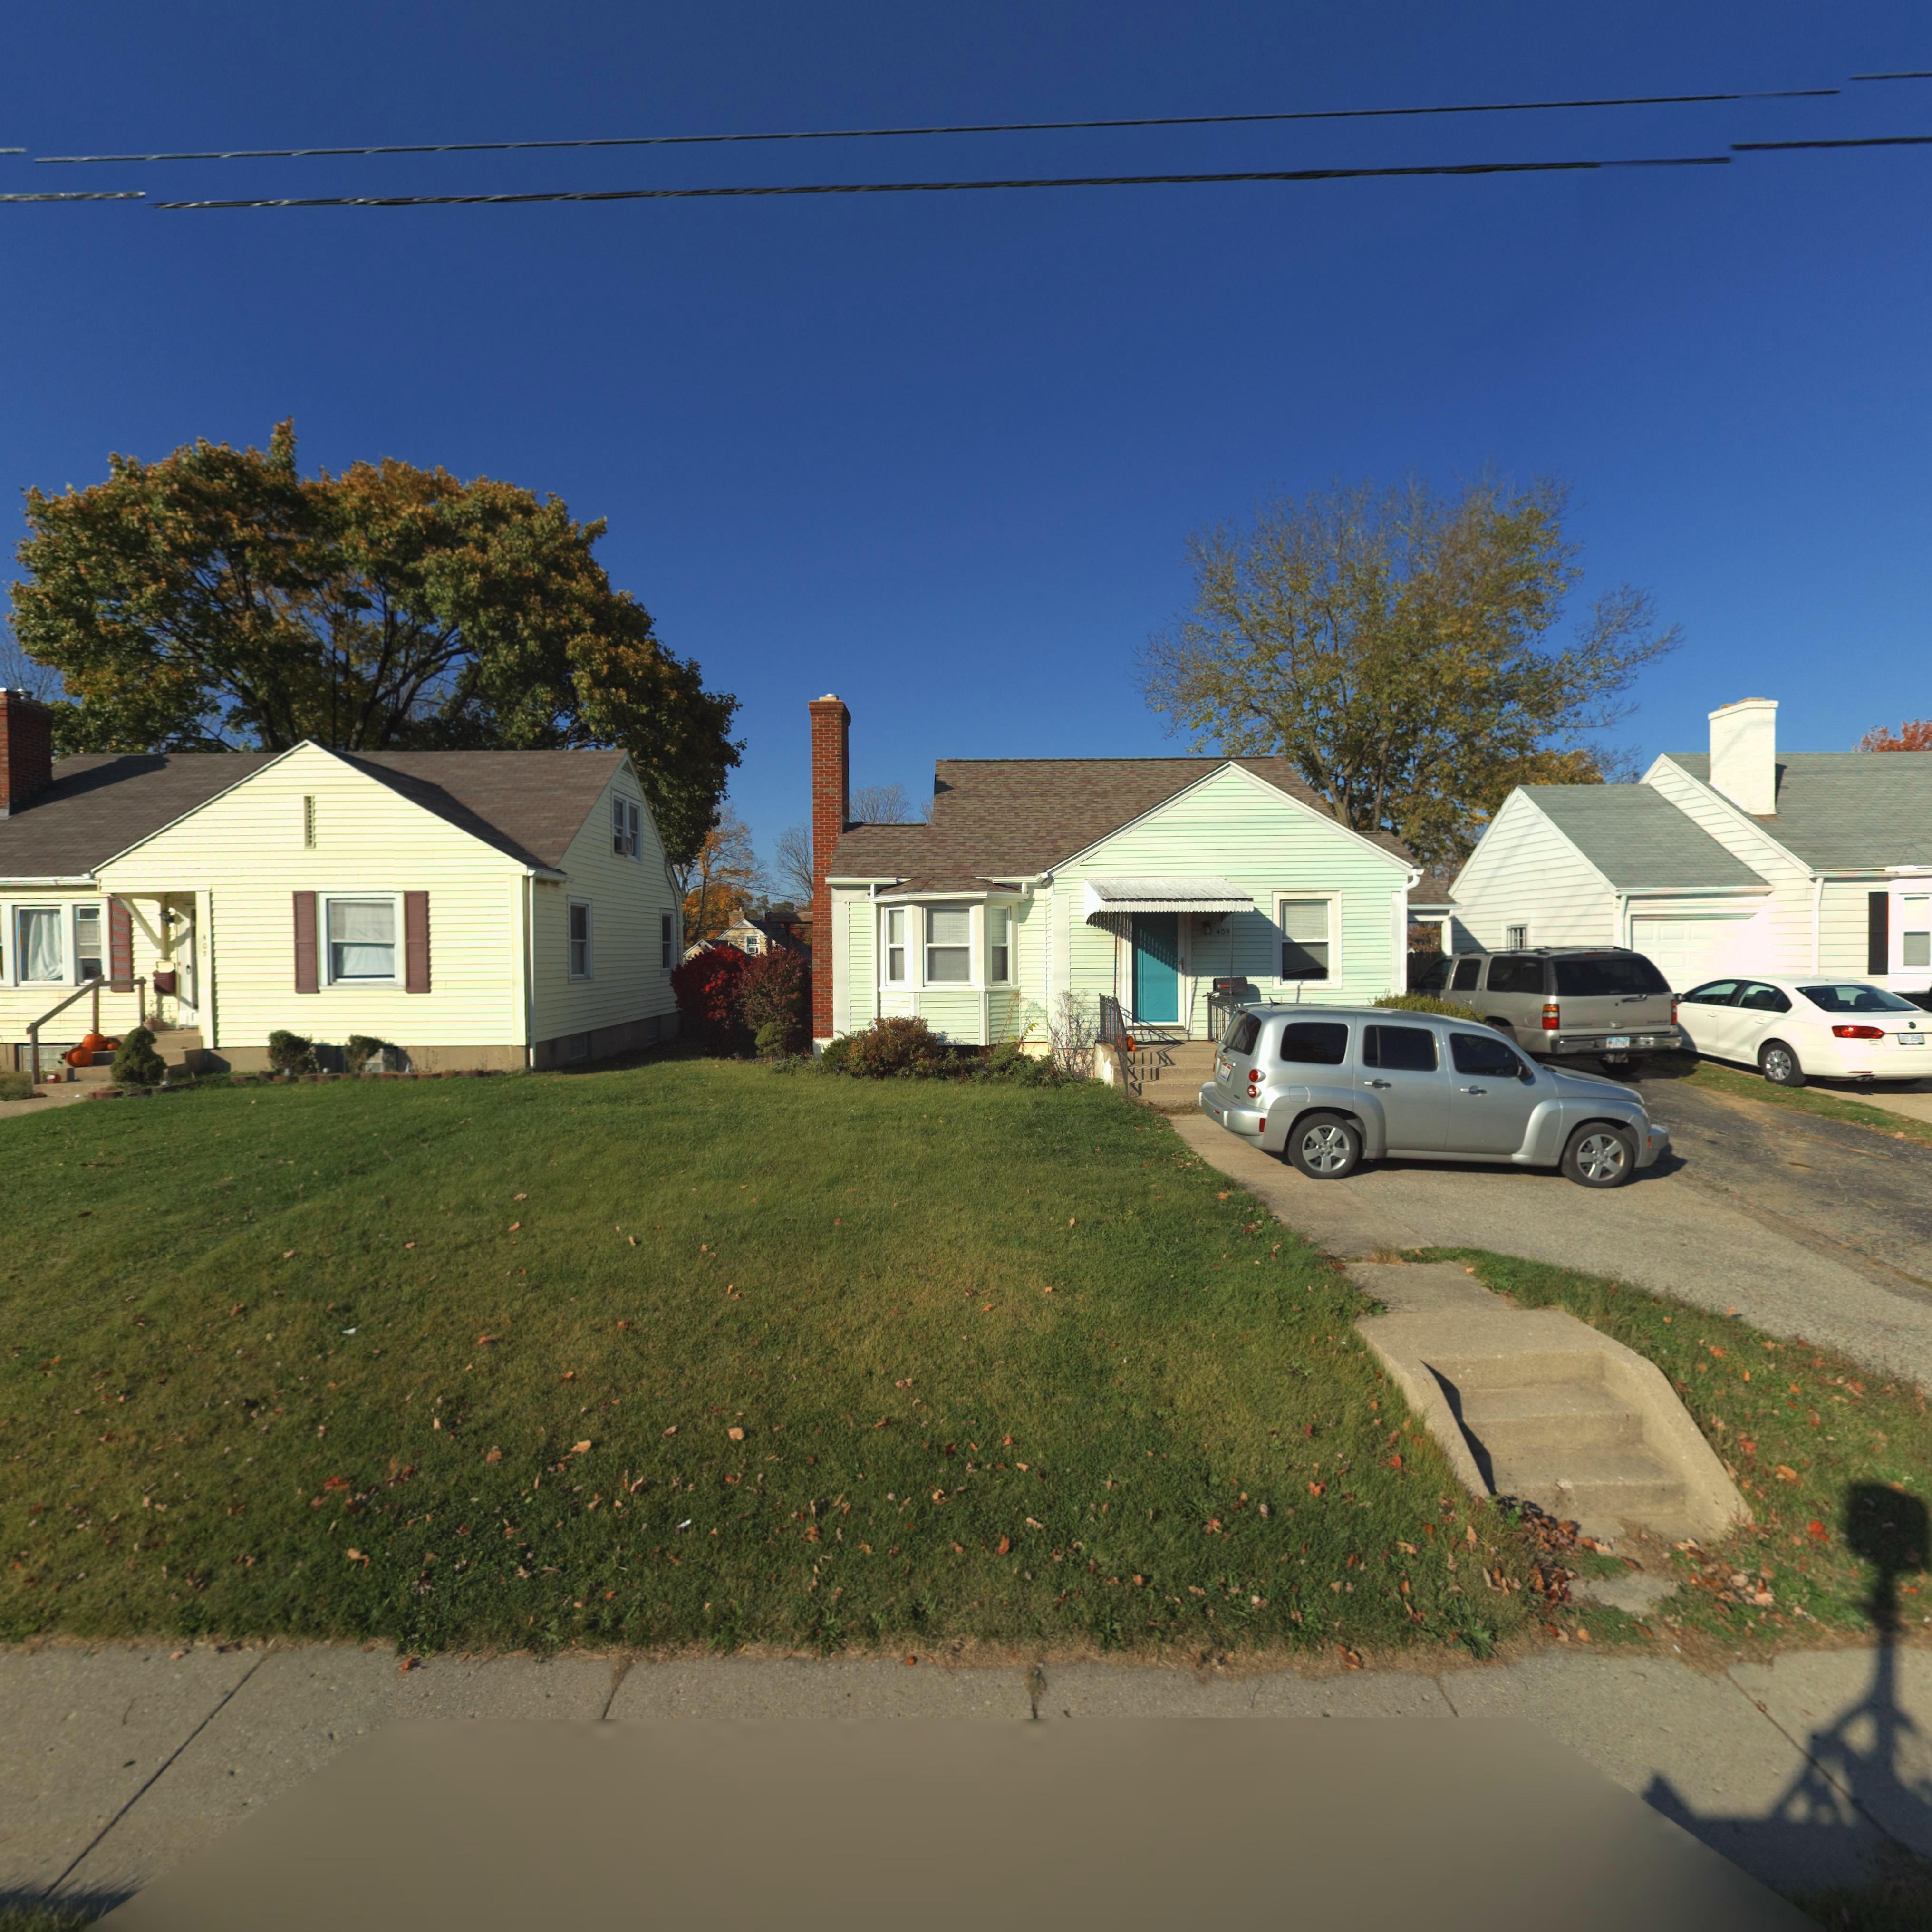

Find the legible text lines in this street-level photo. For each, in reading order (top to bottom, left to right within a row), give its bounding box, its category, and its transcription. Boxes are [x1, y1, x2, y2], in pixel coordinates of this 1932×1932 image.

[1216, 929, 1230, 935] StreetNumber: 409
[202, 933, 207, 957] StreetNumber: 405